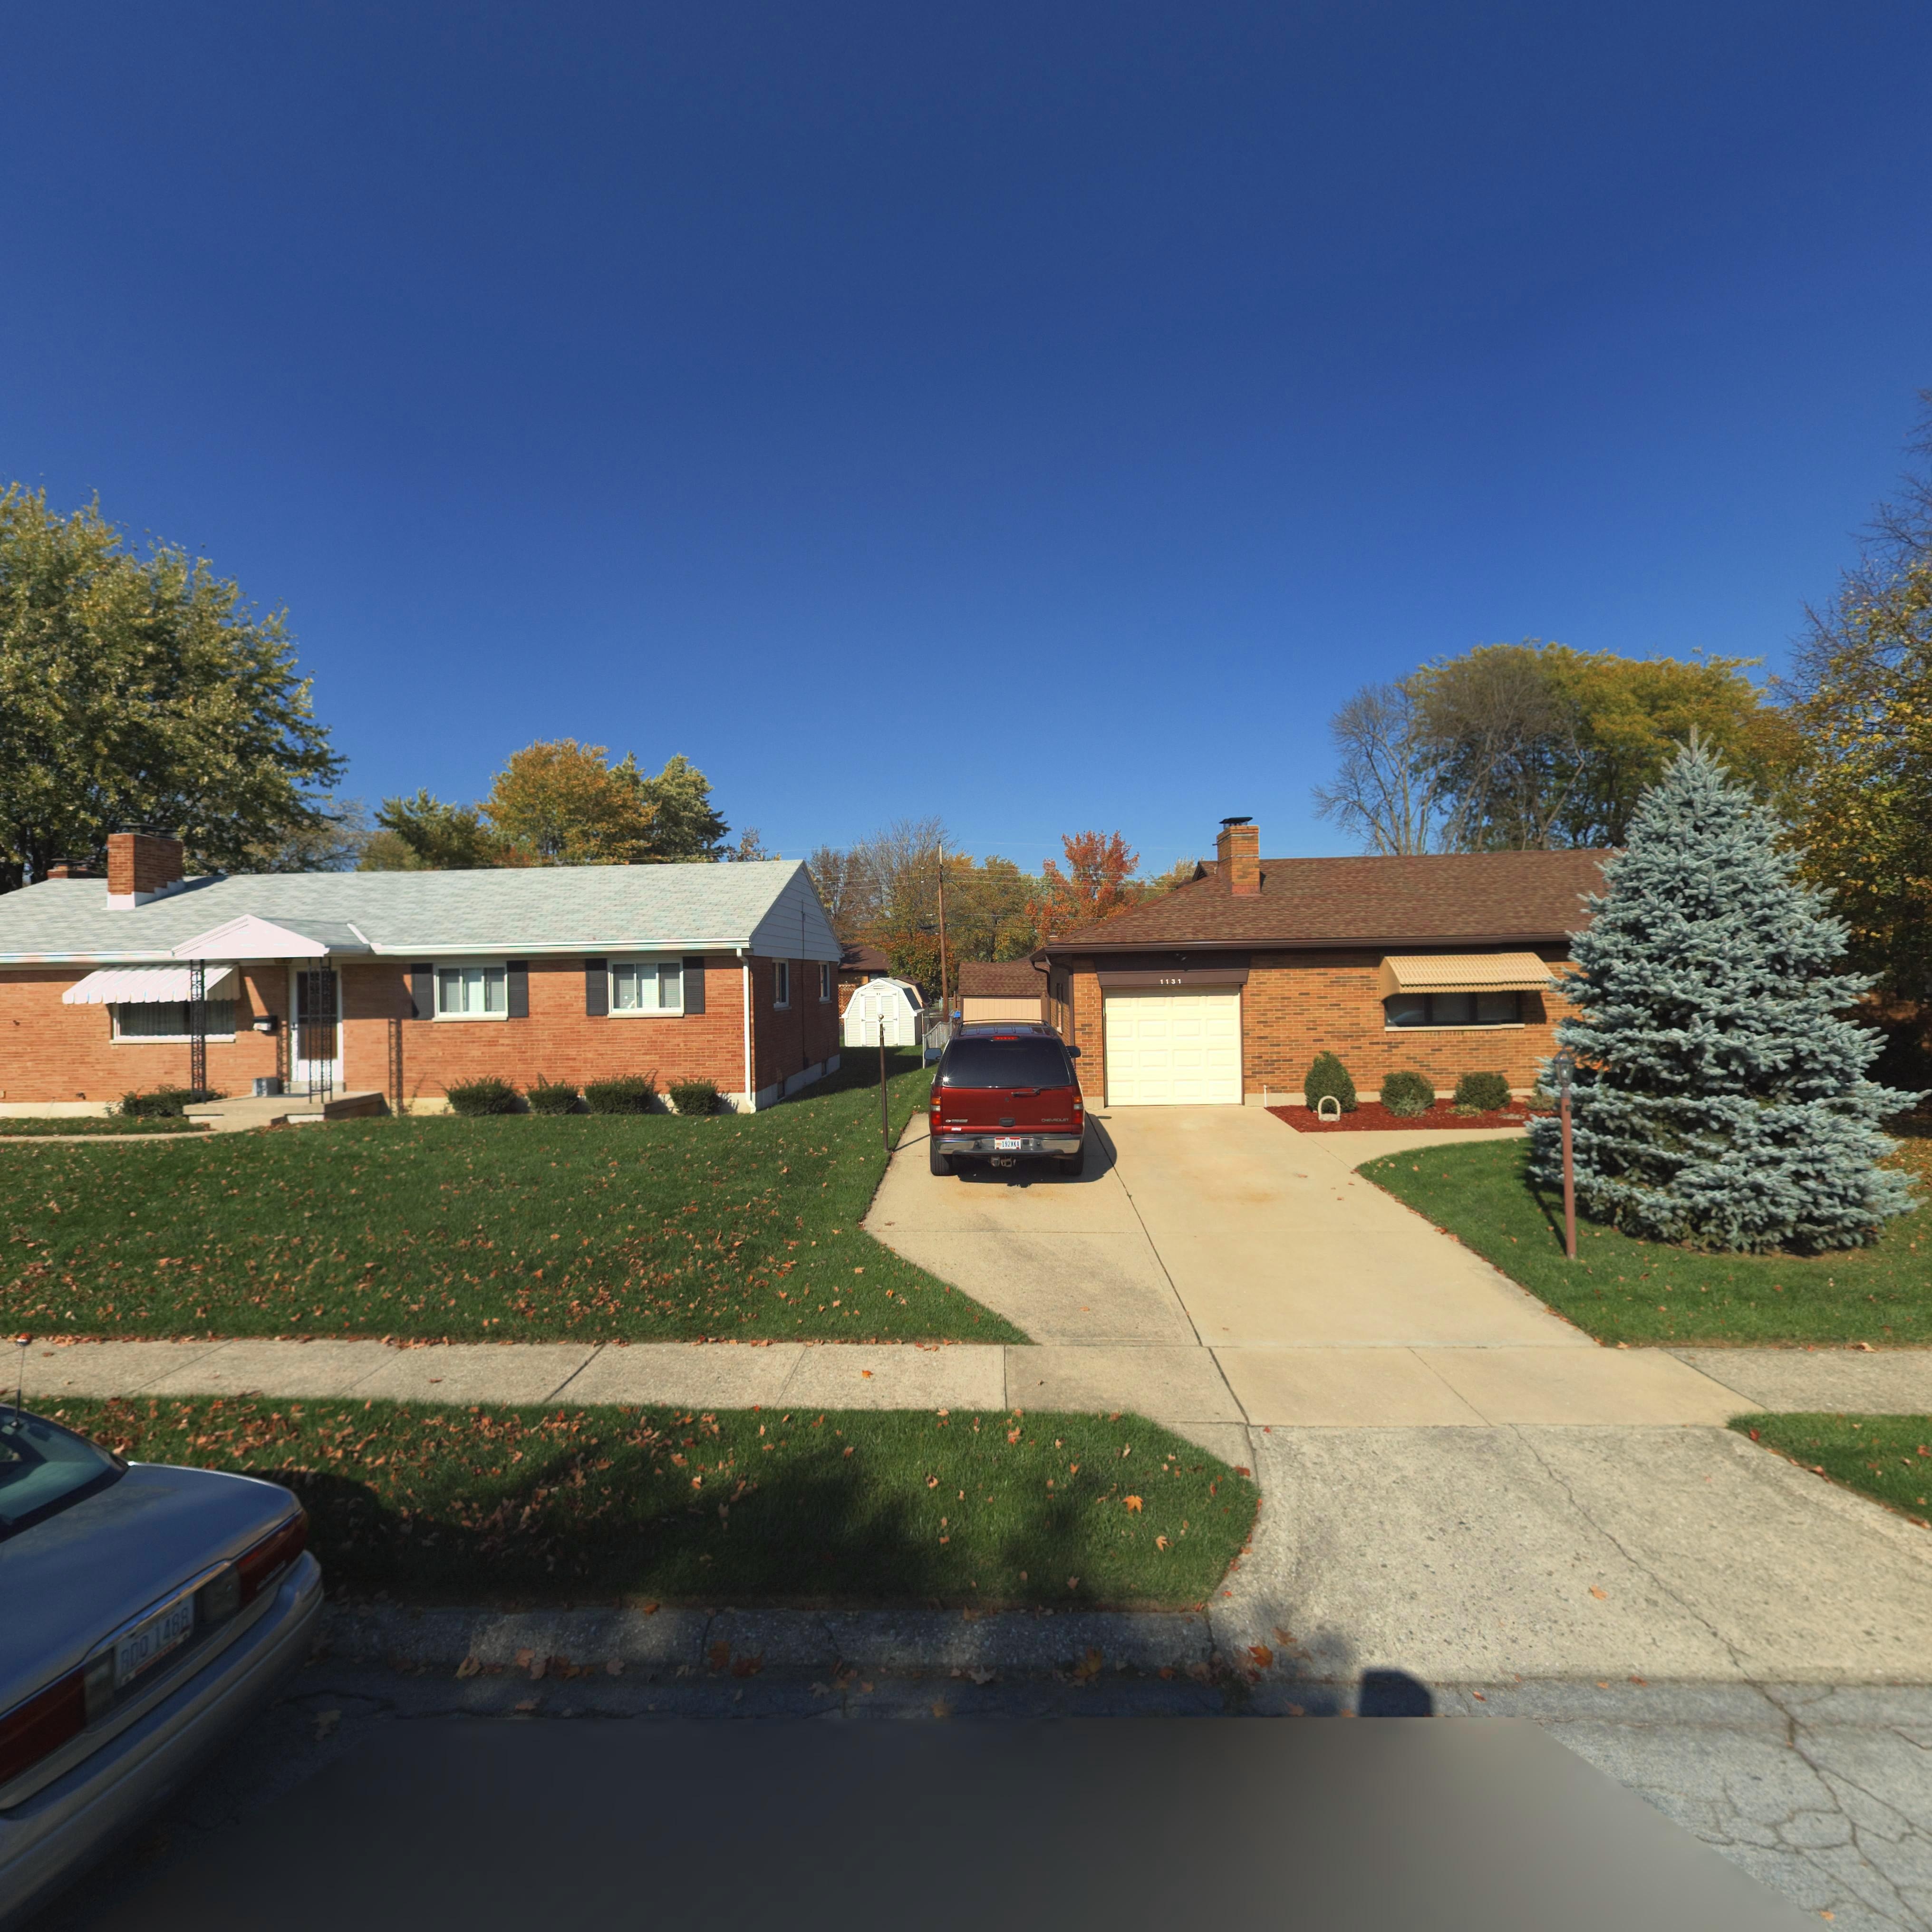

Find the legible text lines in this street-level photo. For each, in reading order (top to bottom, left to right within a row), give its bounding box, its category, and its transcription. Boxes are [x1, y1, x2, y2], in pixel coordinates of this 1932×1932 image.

[1159, 978, 1181, 984] StreetNumber: 1131
[1041, 1118, 1070, 1123] None: CHEVROLET
[1002, 1140, 1020, 1147] None: 192XKA
[119, 1603, 190, 1675] None: ROO 1488